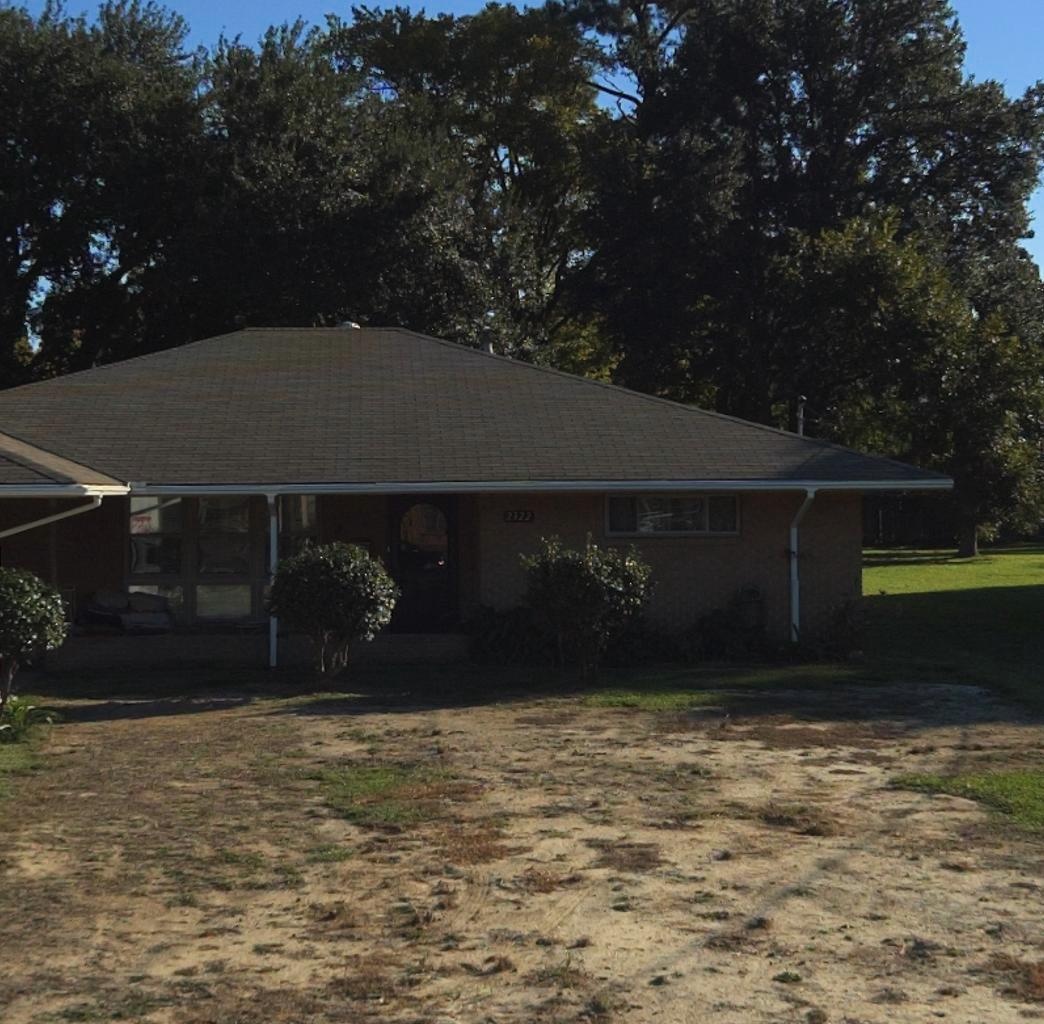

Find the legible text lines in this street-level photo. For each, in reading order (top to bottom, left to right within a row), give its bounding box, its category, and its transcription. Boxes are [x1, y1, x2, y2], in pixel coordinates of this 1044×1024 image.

[504, 511, 533, 522] StreetNumber: 2322